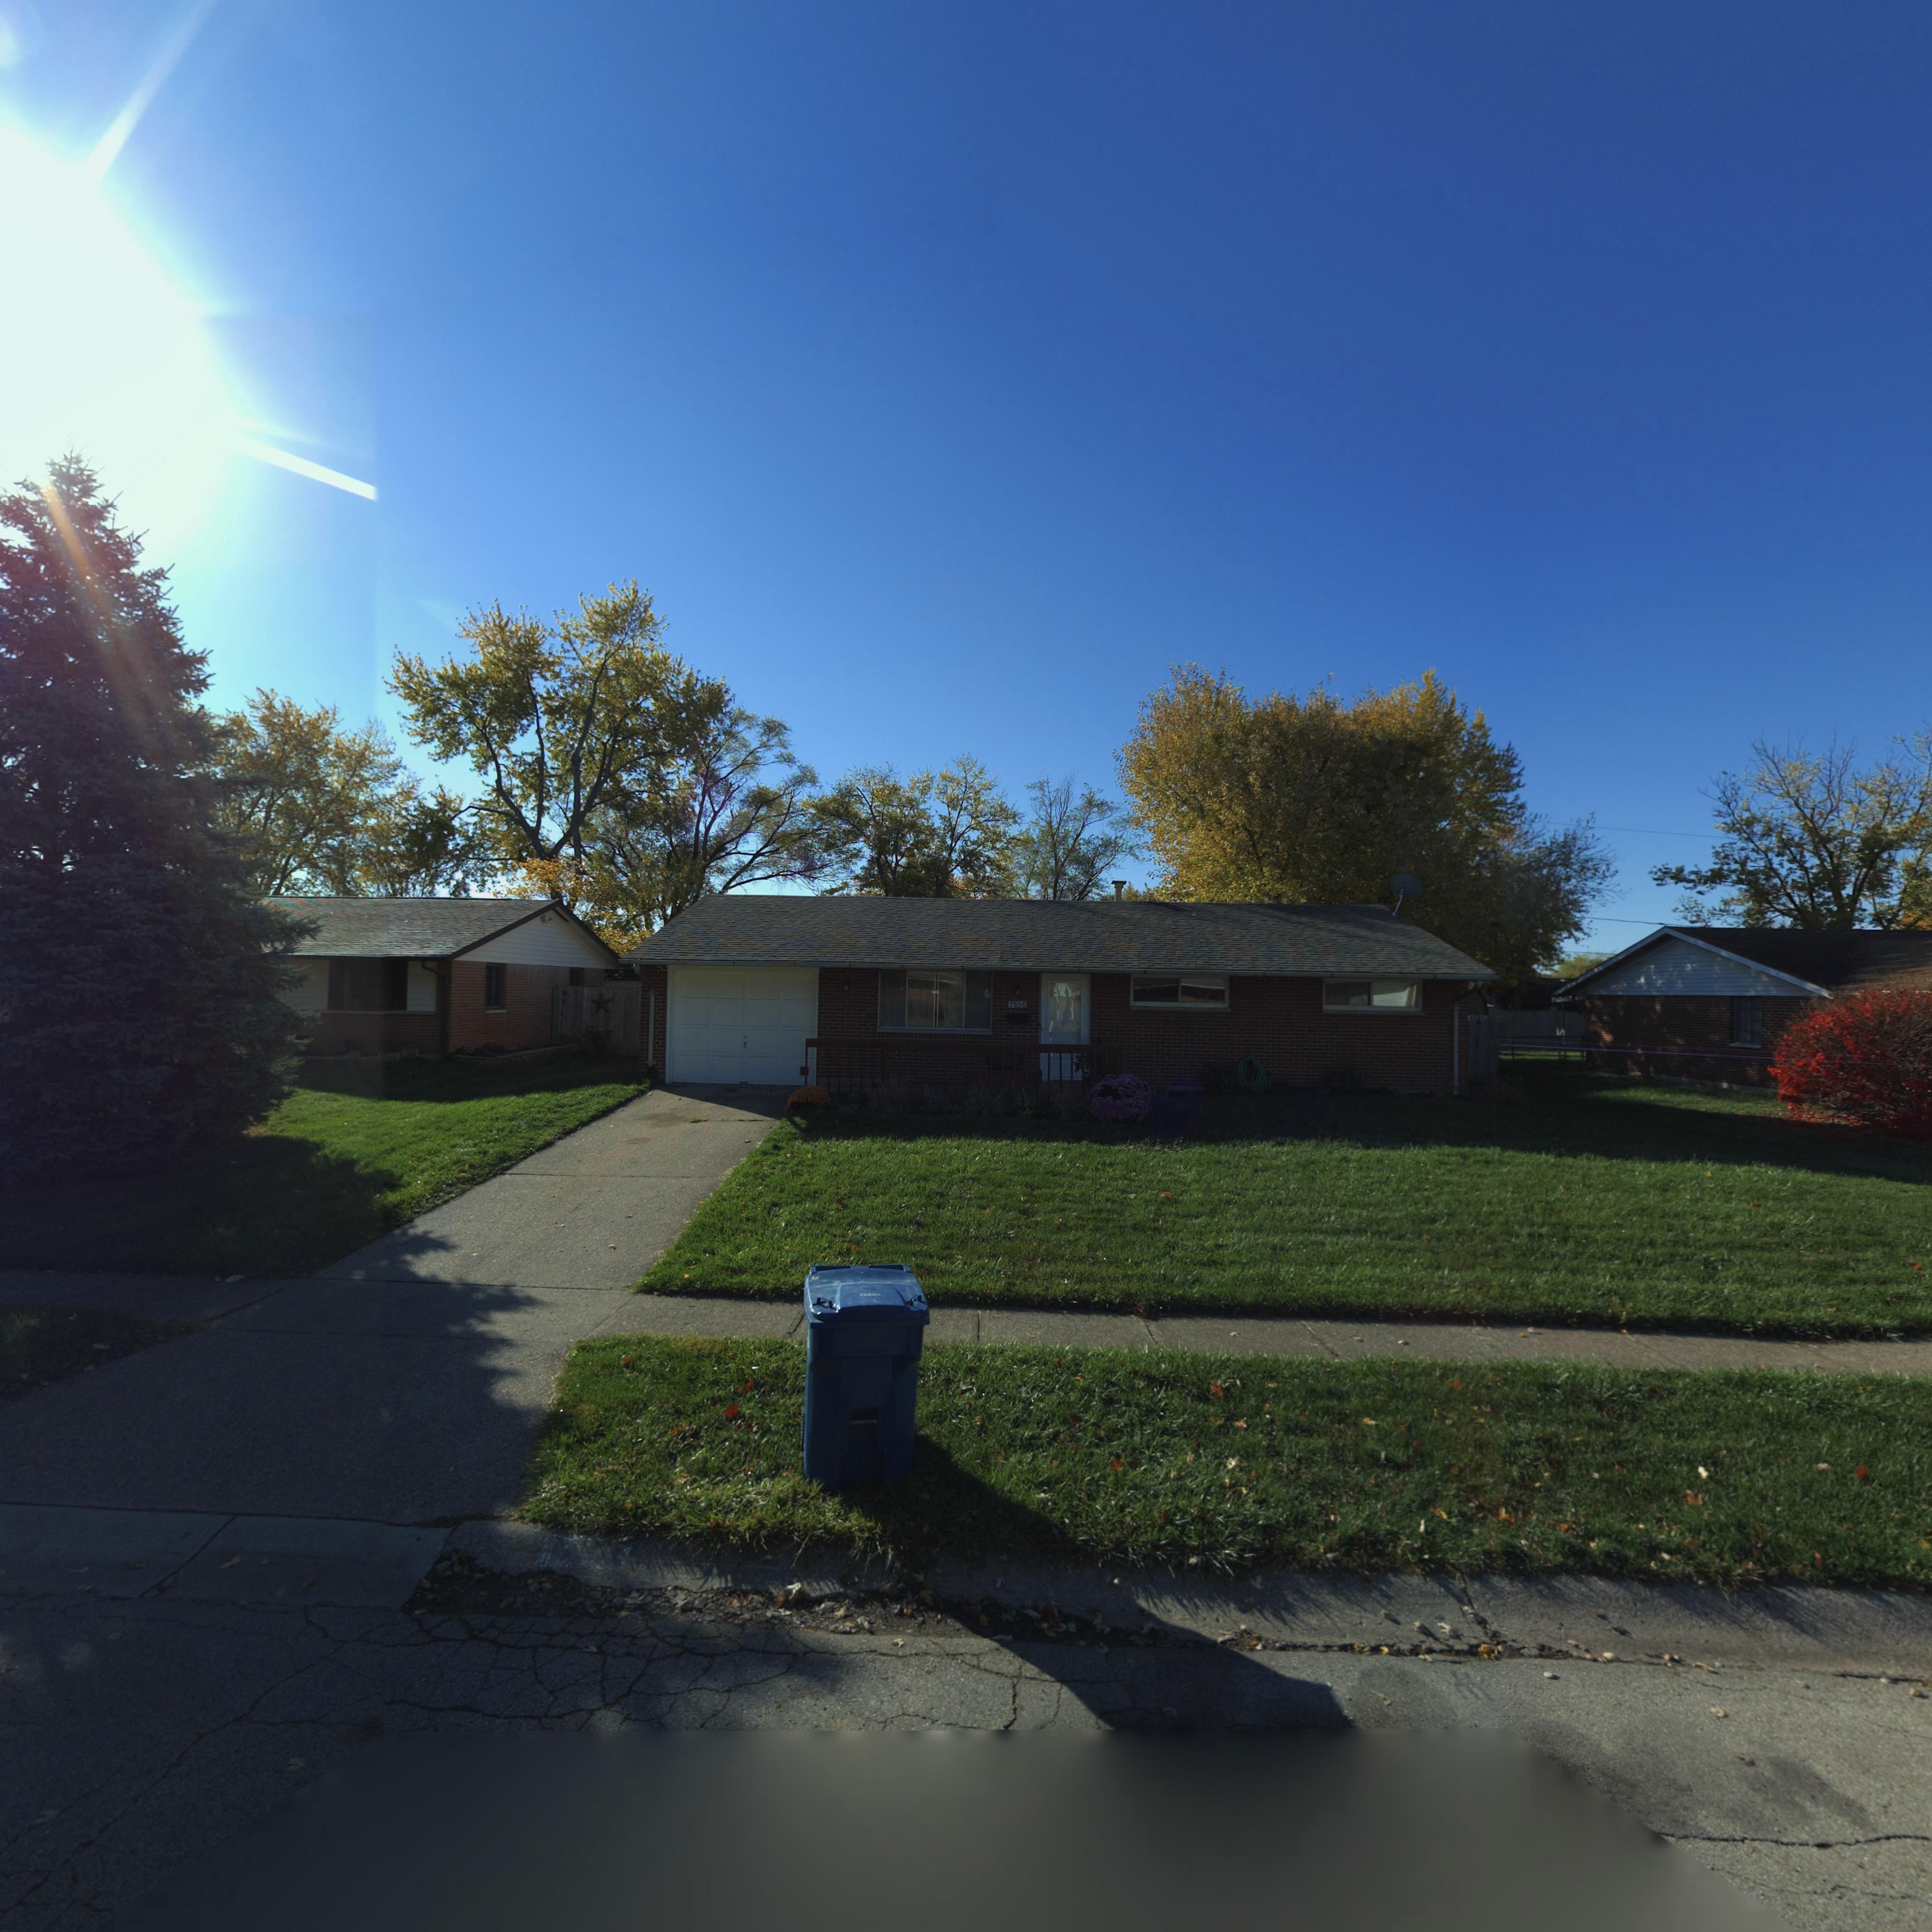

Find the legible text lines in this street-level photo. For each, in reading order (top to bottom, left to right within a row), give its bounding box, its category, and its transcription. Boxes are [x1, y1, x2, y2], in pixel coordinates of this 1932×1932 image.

[1009, 1001, 1026, 1008] StreetNumber: 7858